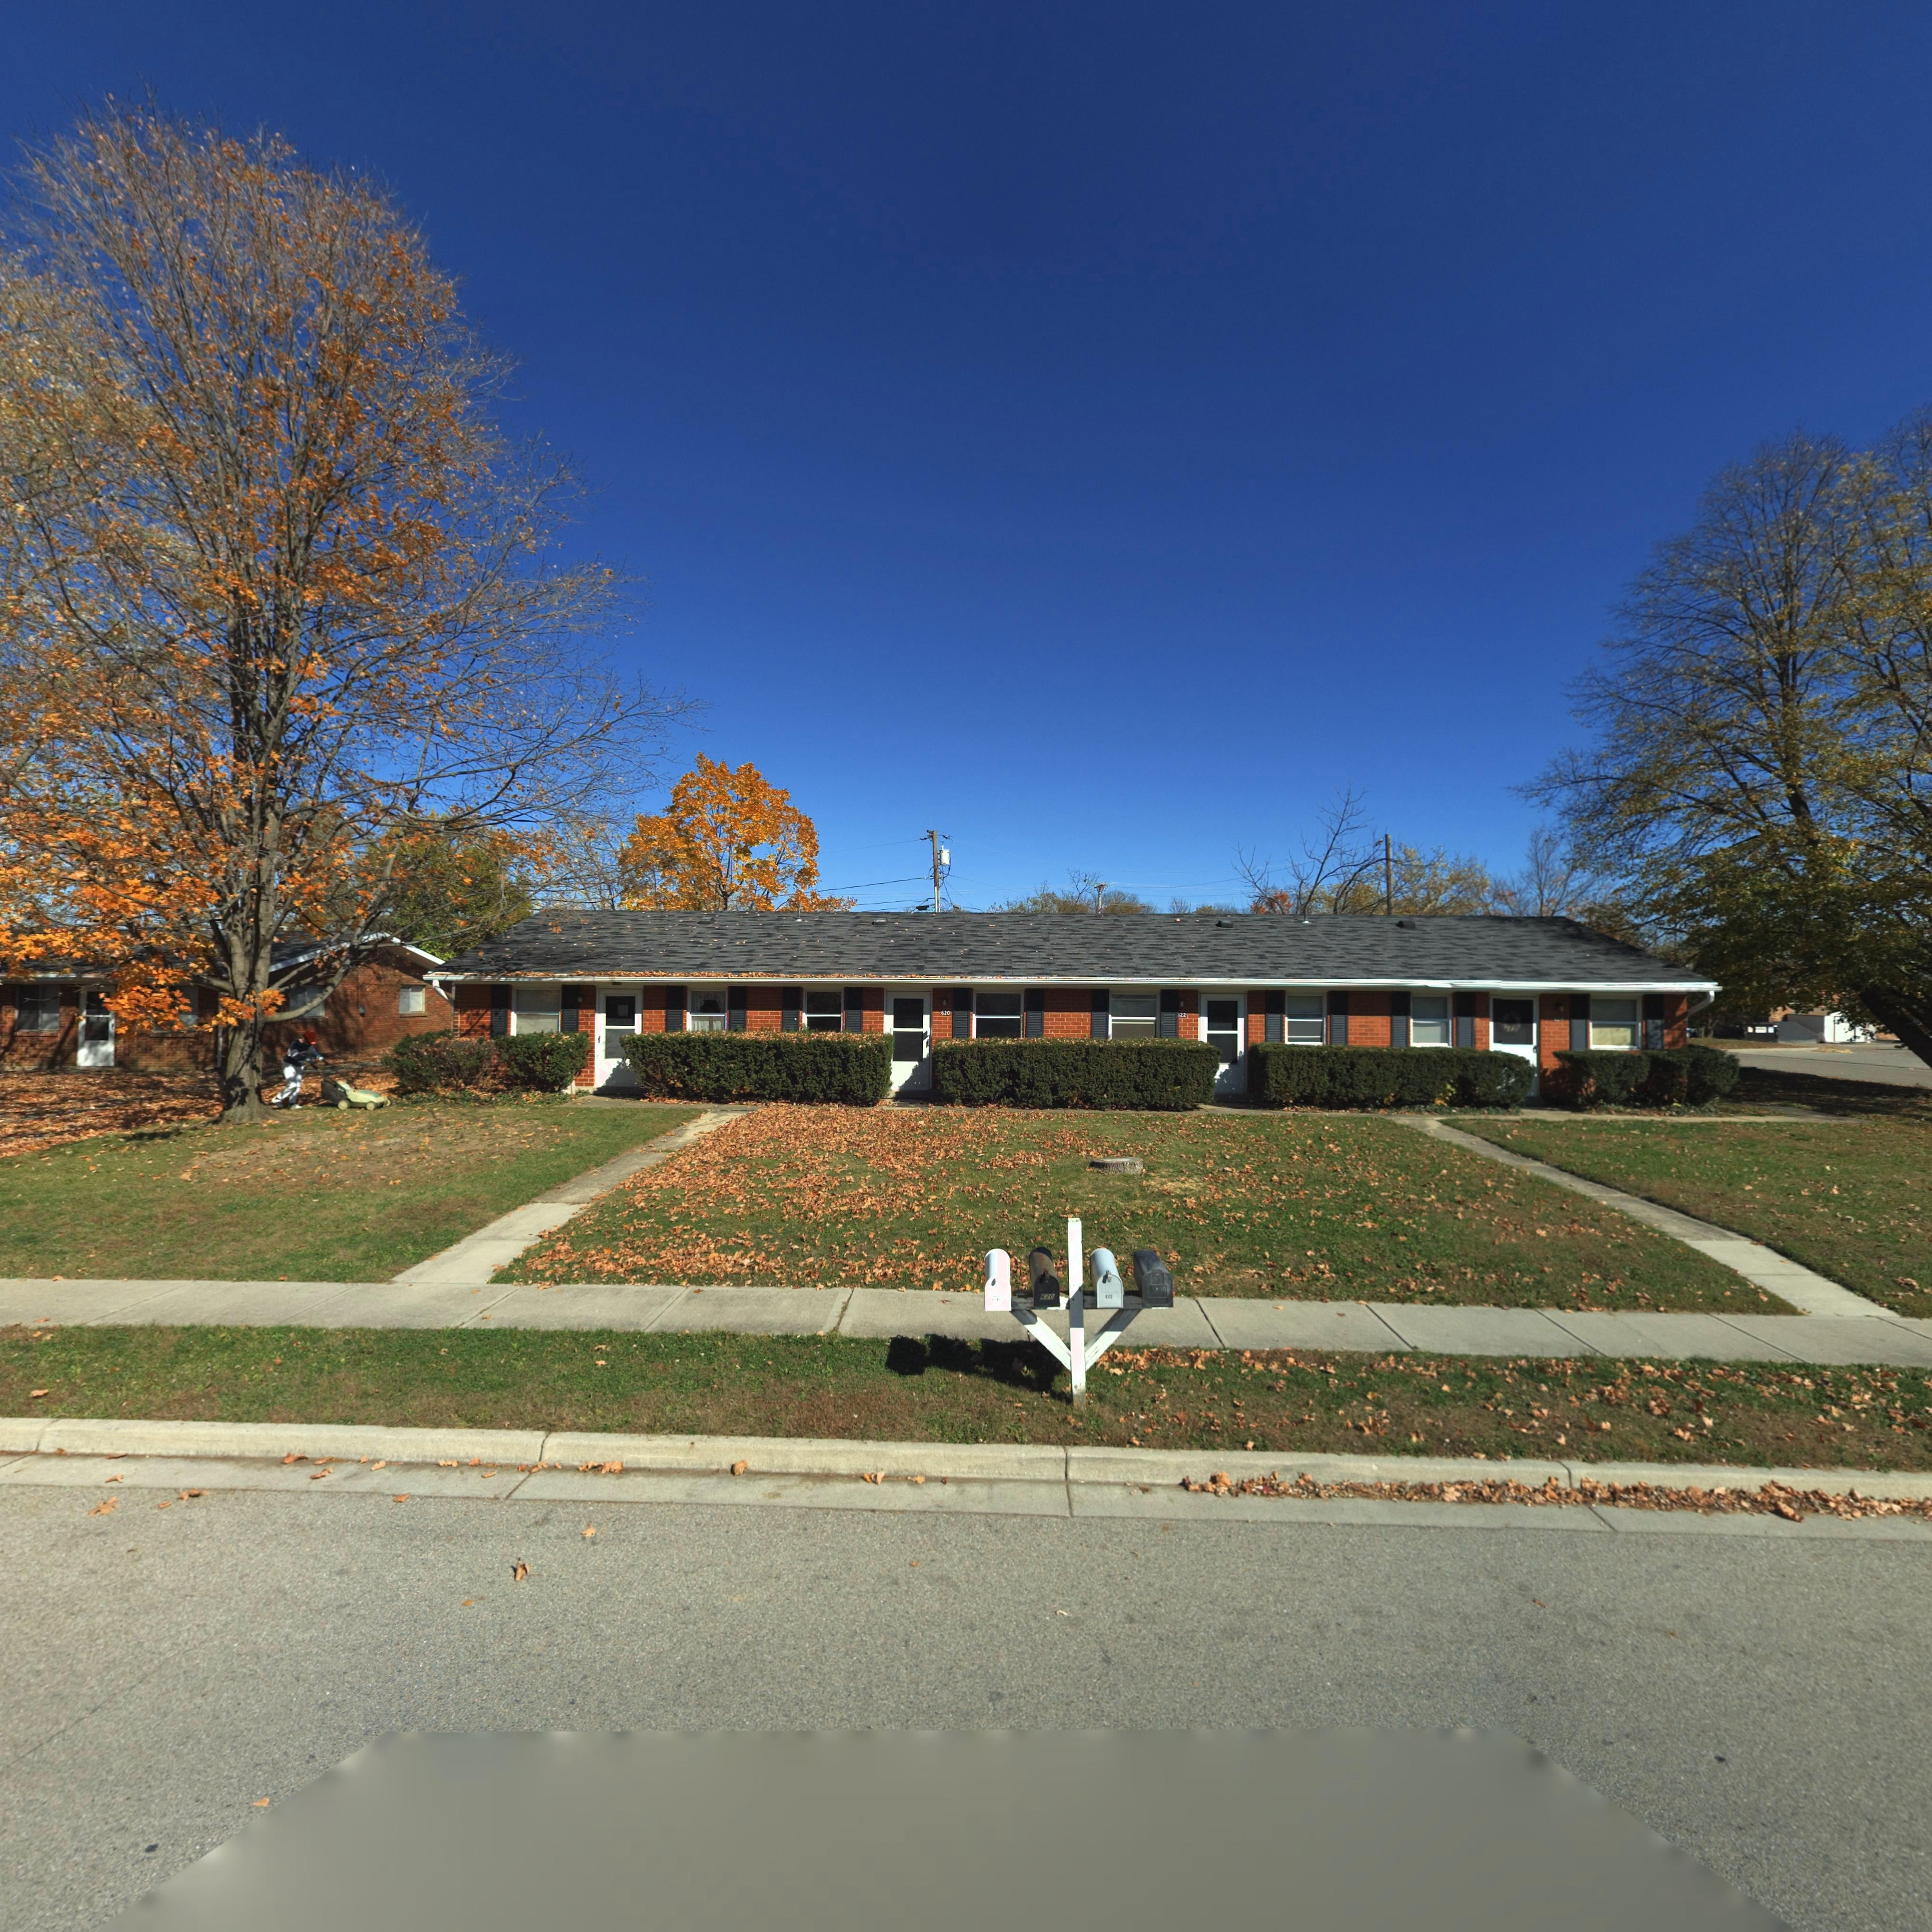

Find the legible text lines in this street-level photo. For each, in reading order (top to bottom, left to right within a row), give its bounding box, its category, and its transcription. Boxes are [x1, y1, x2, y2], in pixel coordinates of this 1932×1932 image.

[941, 1010, 950, 1015] StreetNumber: 620
[1179, 1012, 1187, 1017] StreetNumber: 22
[1553, 1015, 1564, 1022] StreetNumber: *24
[1040, 1293, 1055, 1300] StreetNumber: 620
[1105, 1294, 1113, 1299] StreetNumber: *22